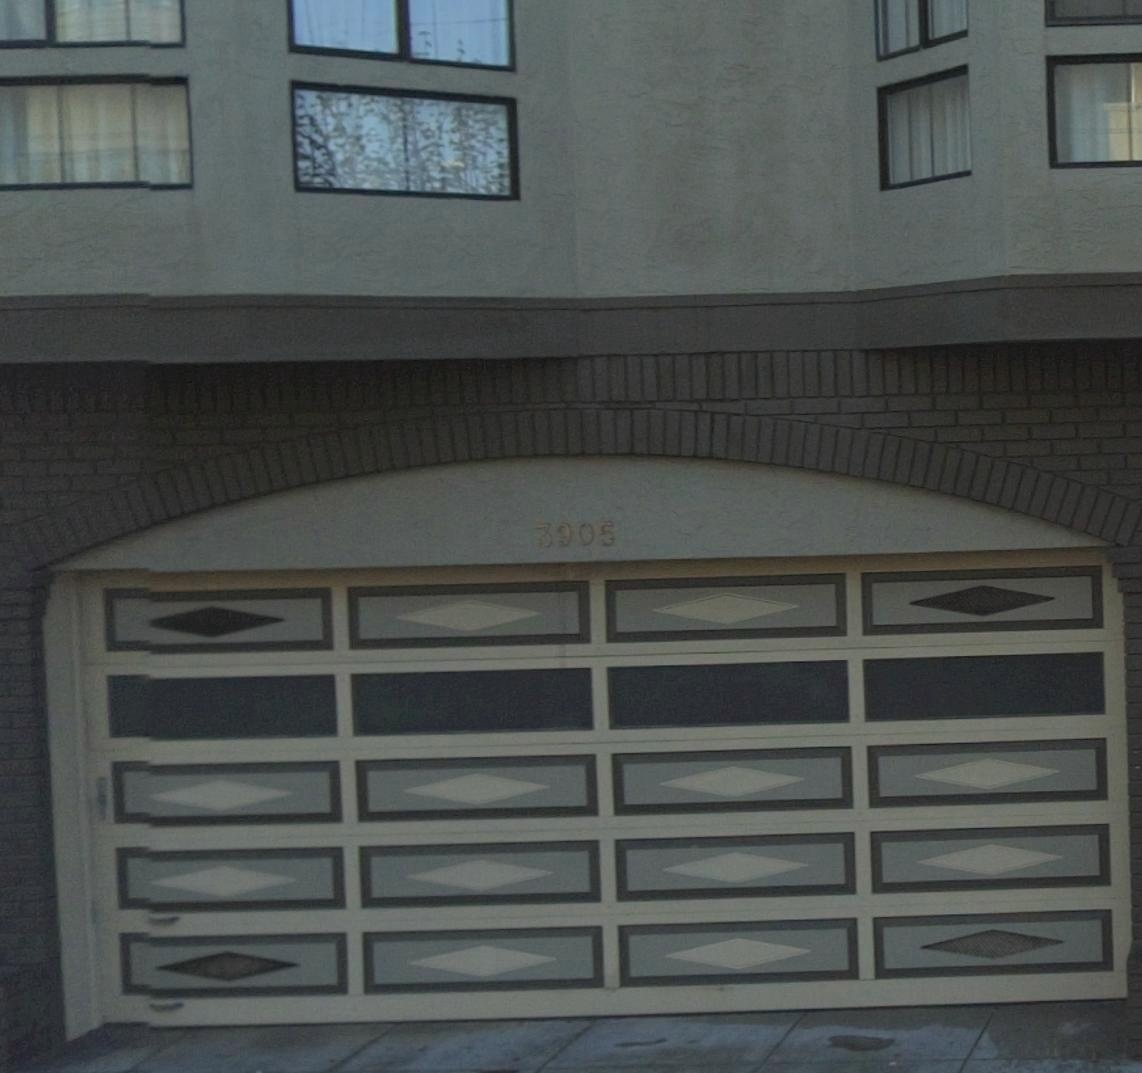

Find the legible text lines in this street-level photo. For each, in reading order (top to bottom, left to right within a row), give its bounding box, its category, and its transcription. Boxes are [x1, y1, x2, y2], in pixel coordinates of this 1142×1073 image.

[533, 519, 617, 551] StreetNumber: 3905